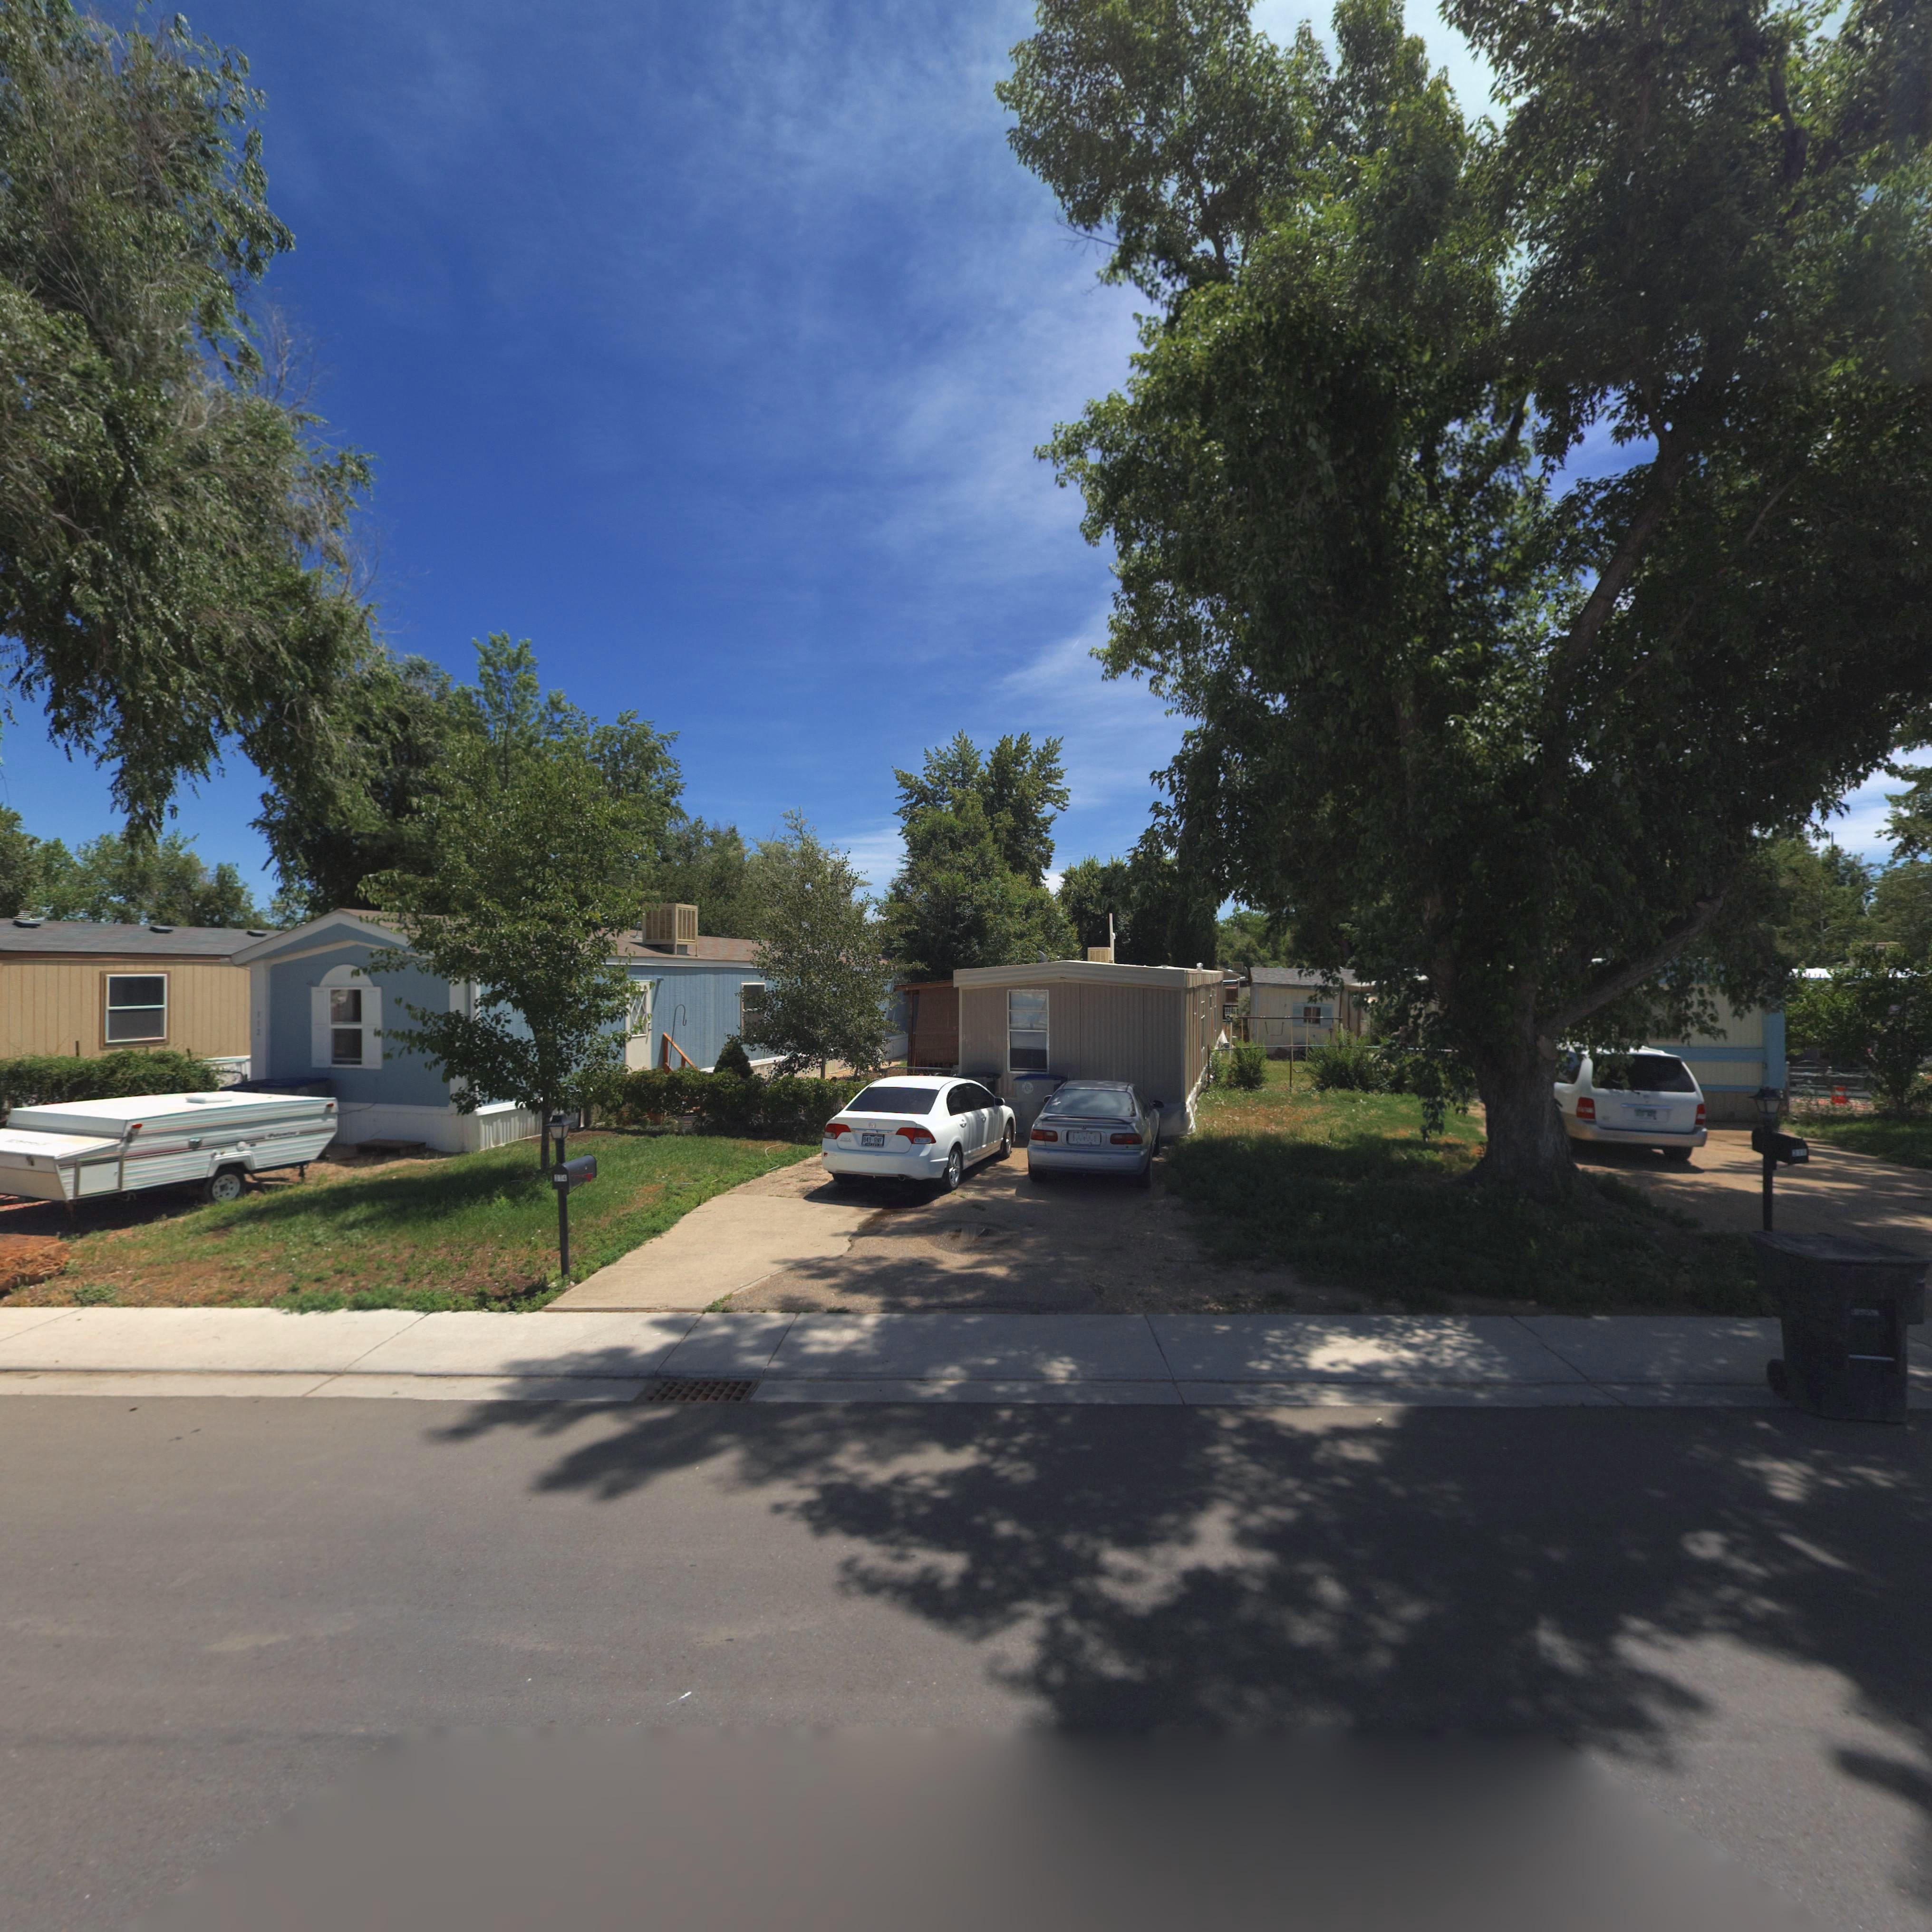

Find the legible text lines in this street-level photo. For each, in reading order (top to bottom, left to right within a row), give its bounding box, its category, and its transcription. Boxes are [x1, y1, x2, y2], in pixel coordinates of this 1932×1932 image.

[256, 1010, 261, 1036] StreetNumber: 312
[961, 1032, 972, 1050] StreetNumber: 314
[1792, 1149, 1806, 1156] StreetNumber: 31*
[553, 1173, 568, 1182] StreetNumber: 314